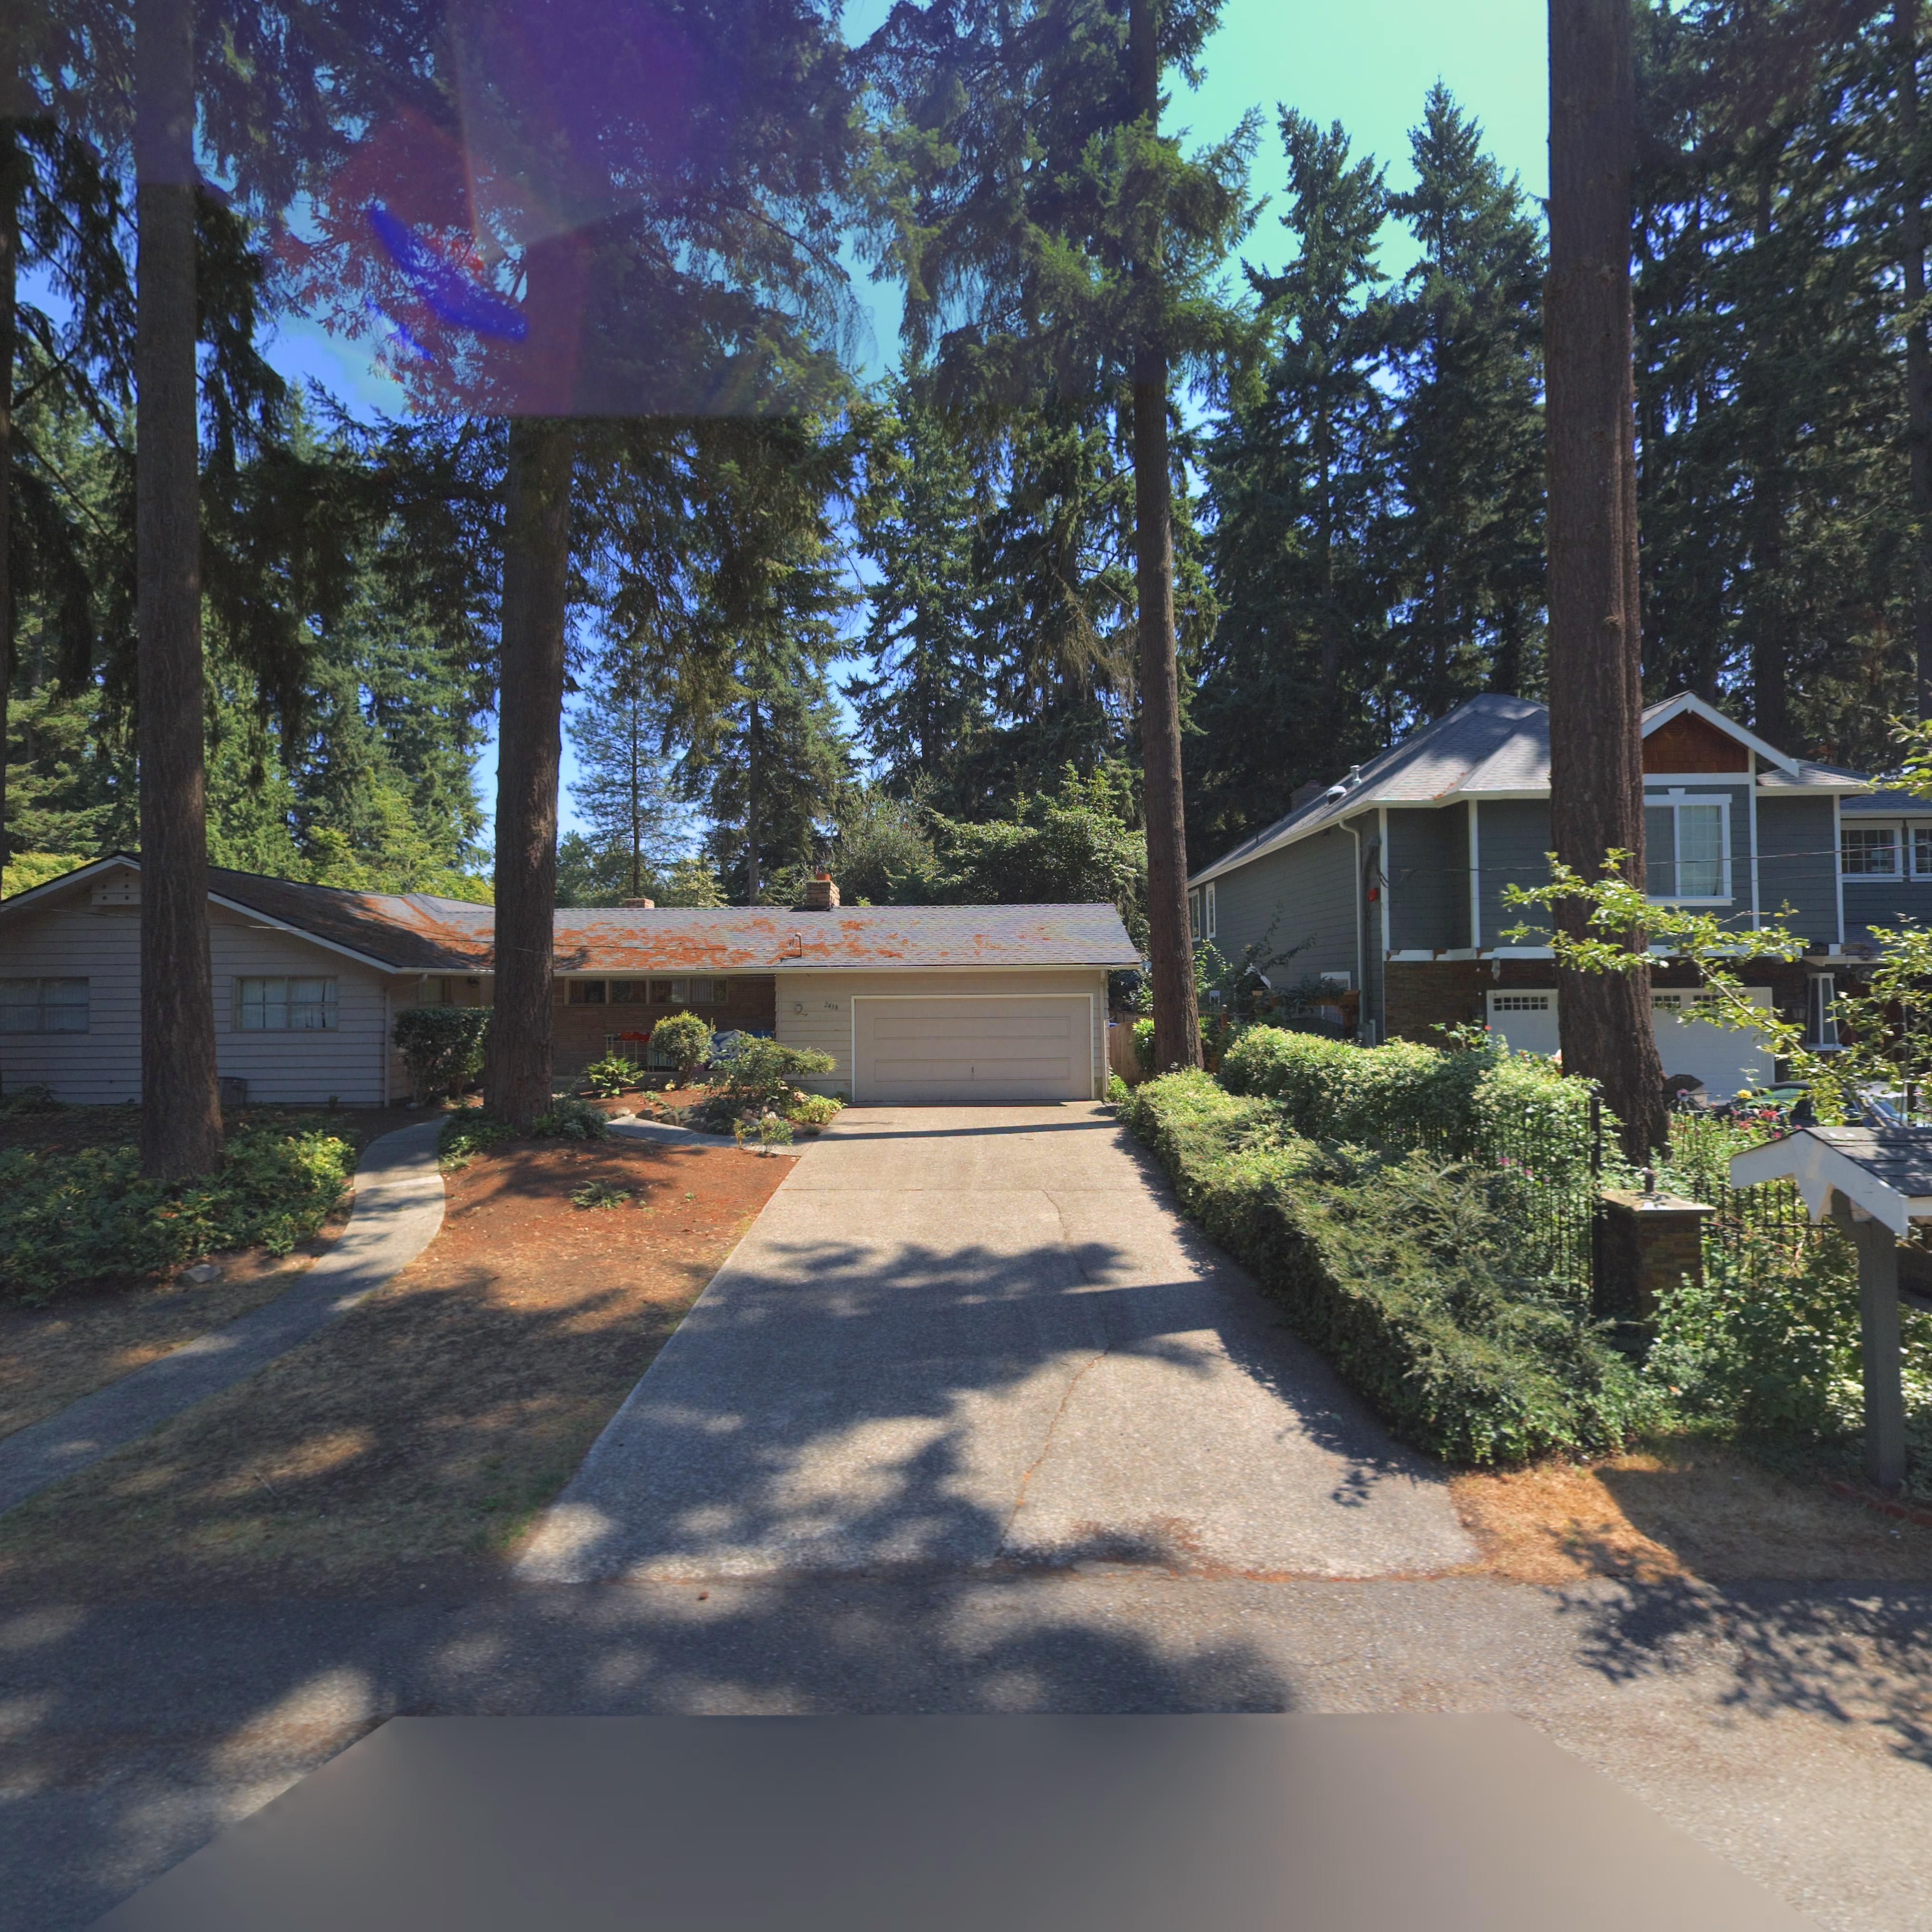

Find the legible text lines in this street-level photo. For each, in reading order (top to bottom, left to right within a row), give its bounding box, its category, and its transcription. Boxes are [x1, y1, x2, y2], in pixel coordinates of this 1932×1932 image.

[1806, 946, 1827, 954] StreetNumber: 2430
[823, 1001, 838, 1011] StreetNumber: 2438